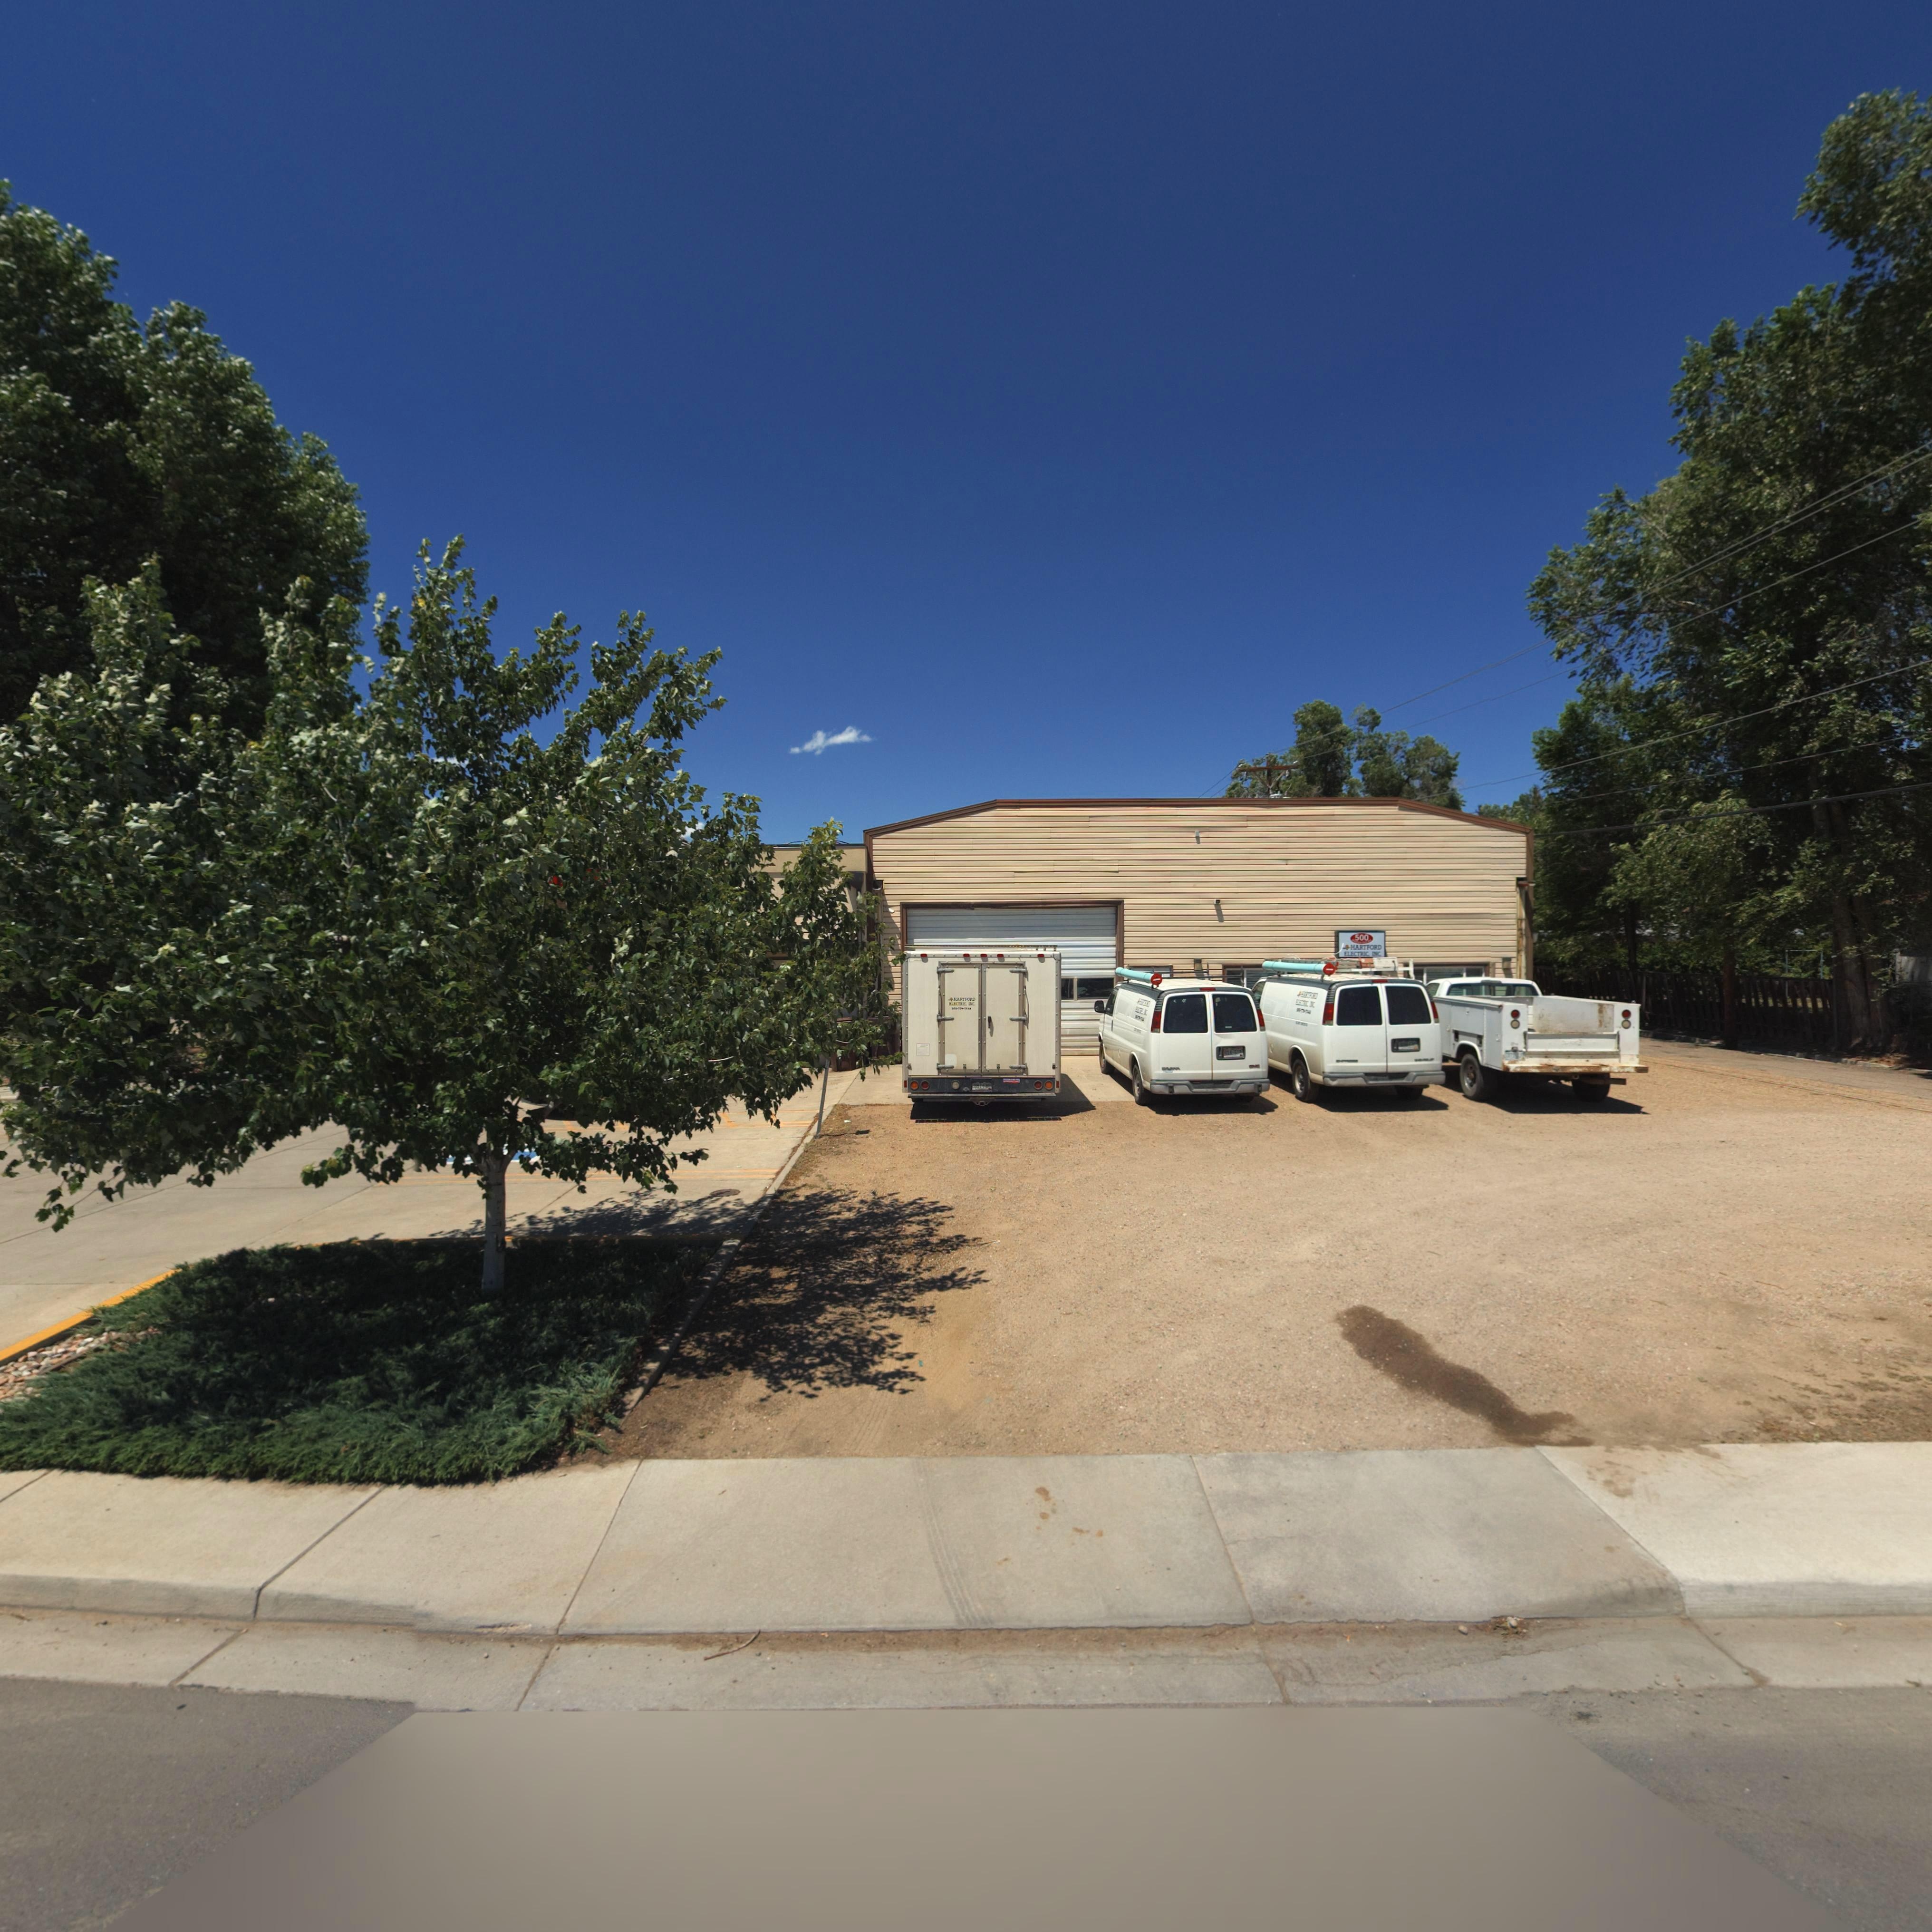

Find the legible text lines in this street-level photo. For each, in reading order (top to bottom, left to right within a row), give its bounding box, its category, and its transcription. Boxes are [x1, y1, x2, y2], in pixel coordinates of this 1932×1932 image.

[1355, 934, 1369, 941] StreetNumber: 500
[1350, 944, 1382, 950] BusinessName: HARTFORD
[1344, 951, 1381, 956] BusinessName: ELECTRIC INC